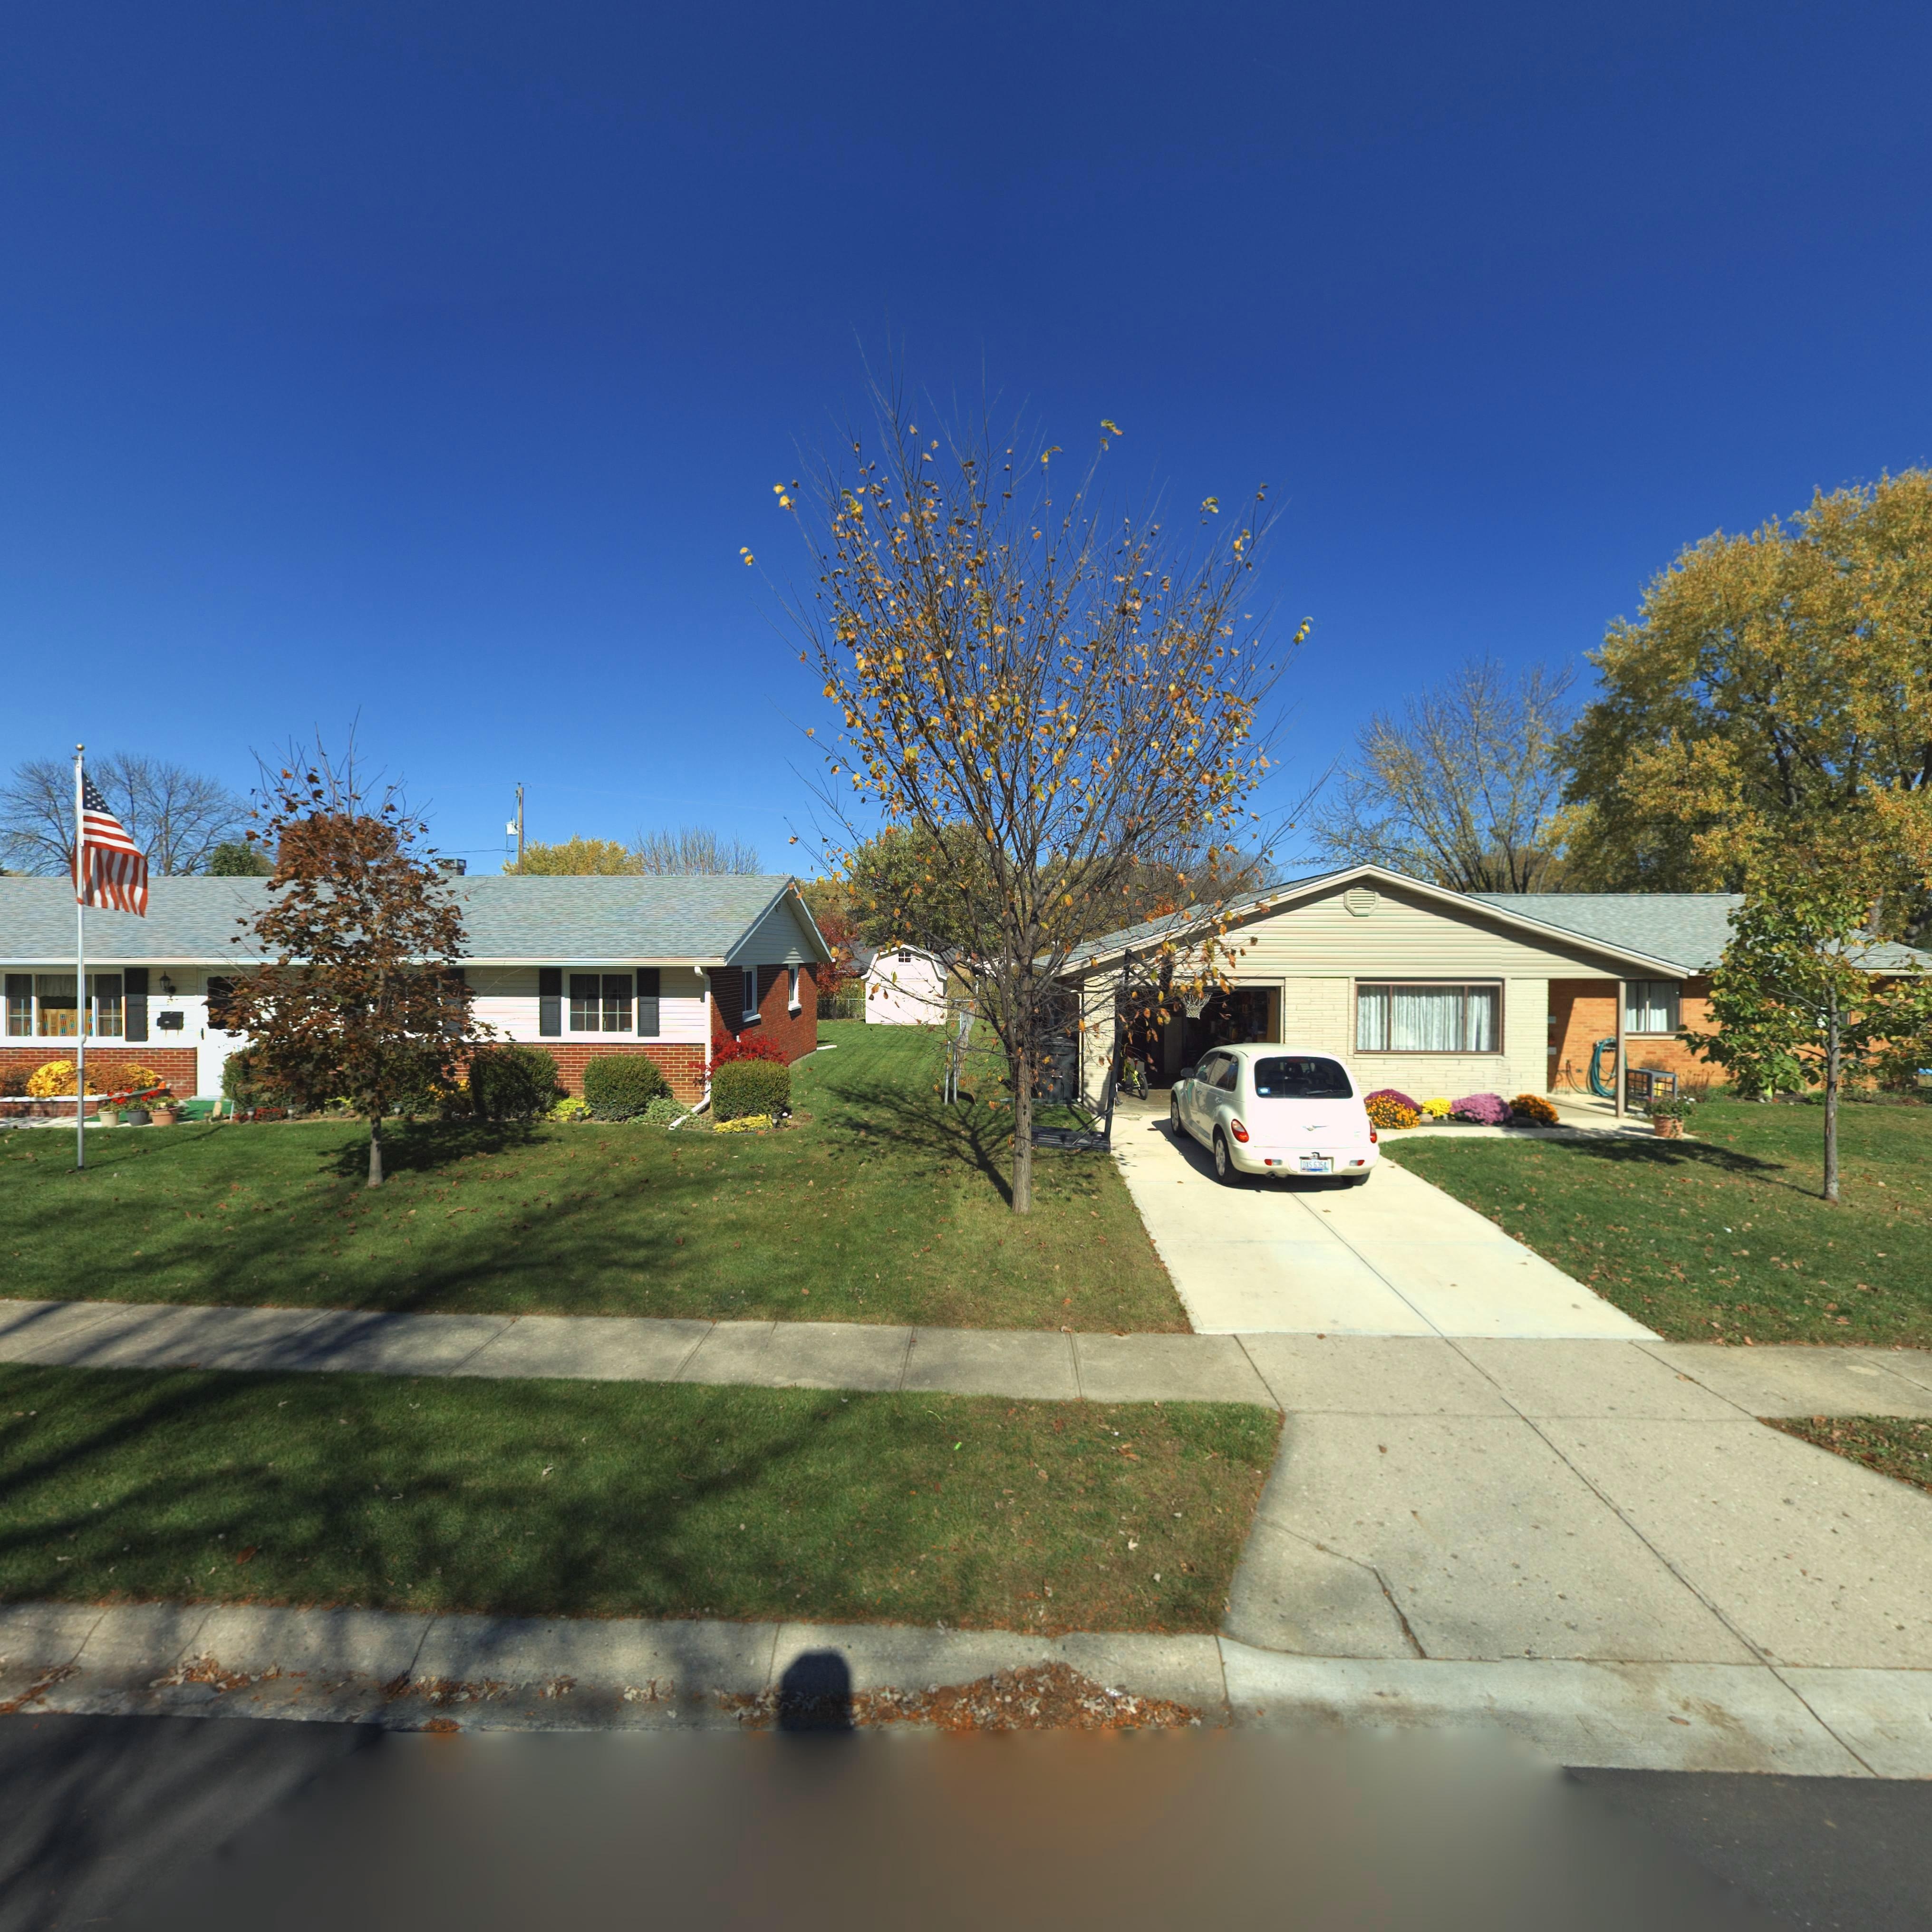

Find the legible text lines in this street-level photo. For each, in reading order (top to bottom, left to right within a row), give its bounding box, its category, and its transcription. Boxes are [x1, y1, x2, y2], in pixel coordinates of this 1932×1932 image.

[166, 998, 179, 1005] StreetNumber: 8**